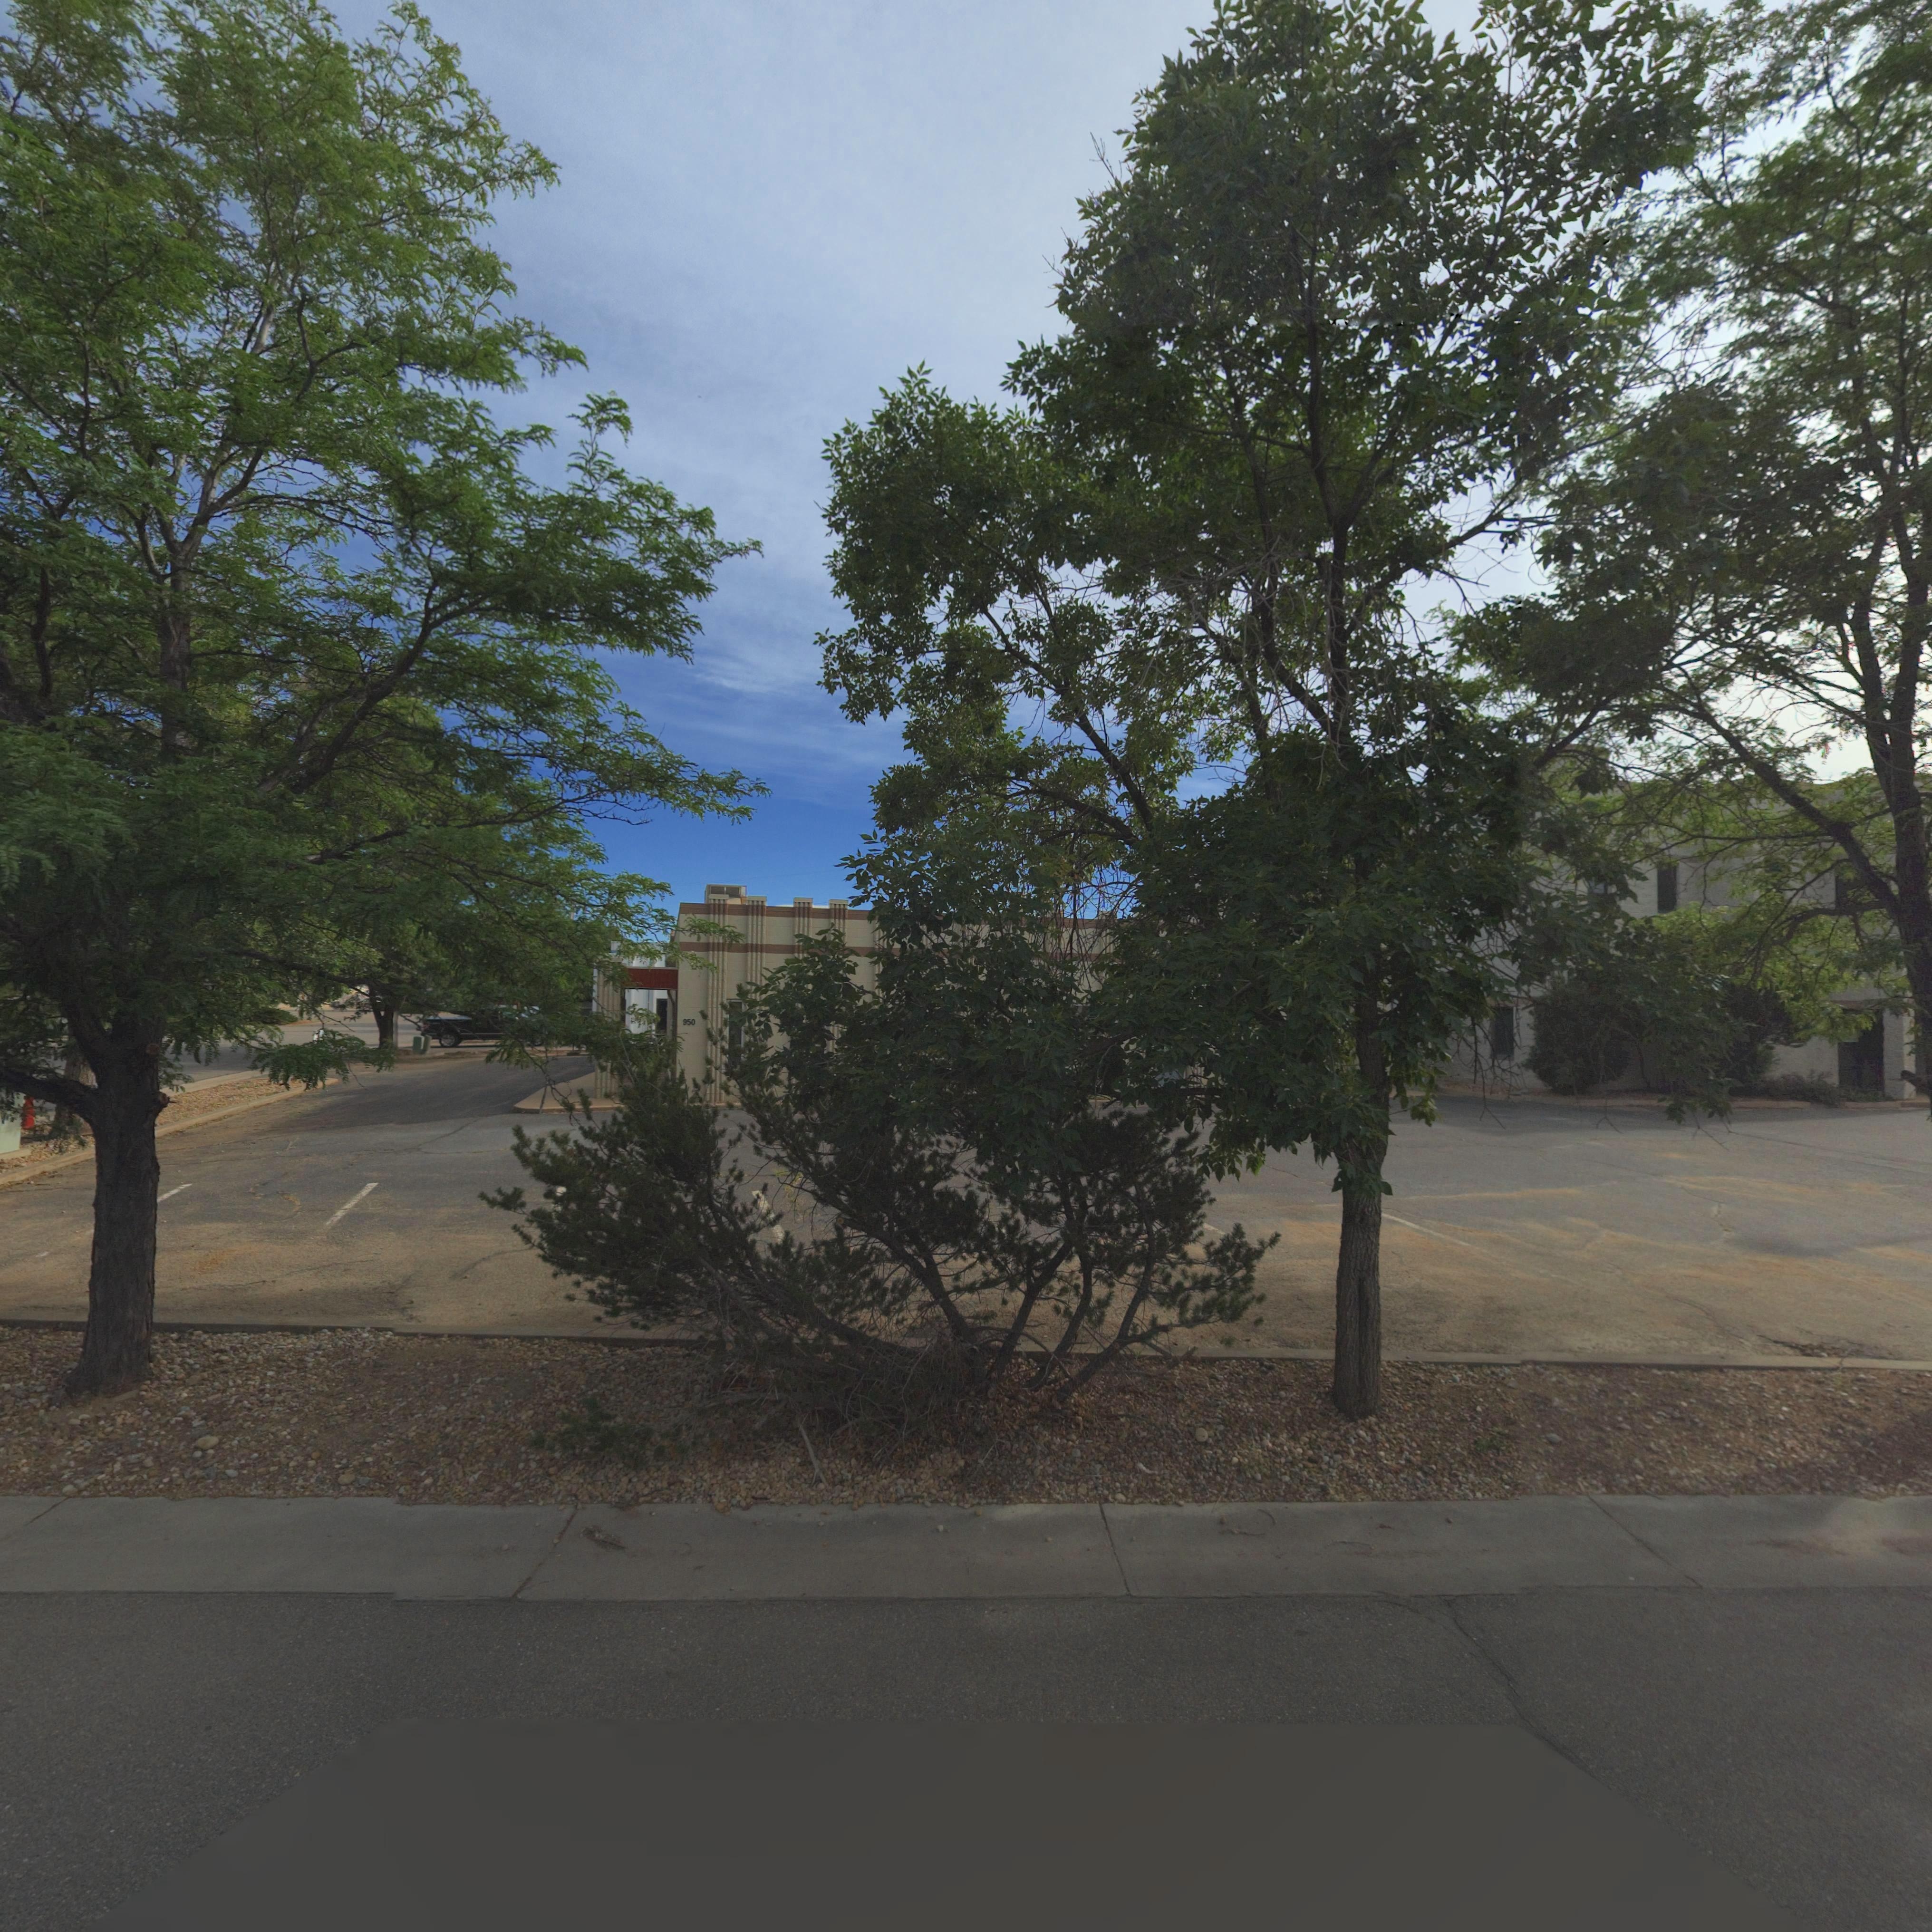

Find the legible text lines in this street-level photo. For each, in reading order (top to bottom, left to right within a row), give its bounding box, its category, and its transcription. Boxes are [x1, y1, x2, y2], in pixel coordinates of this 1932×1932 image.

[682, 1018, 696, 1025] StreetNumber: 950